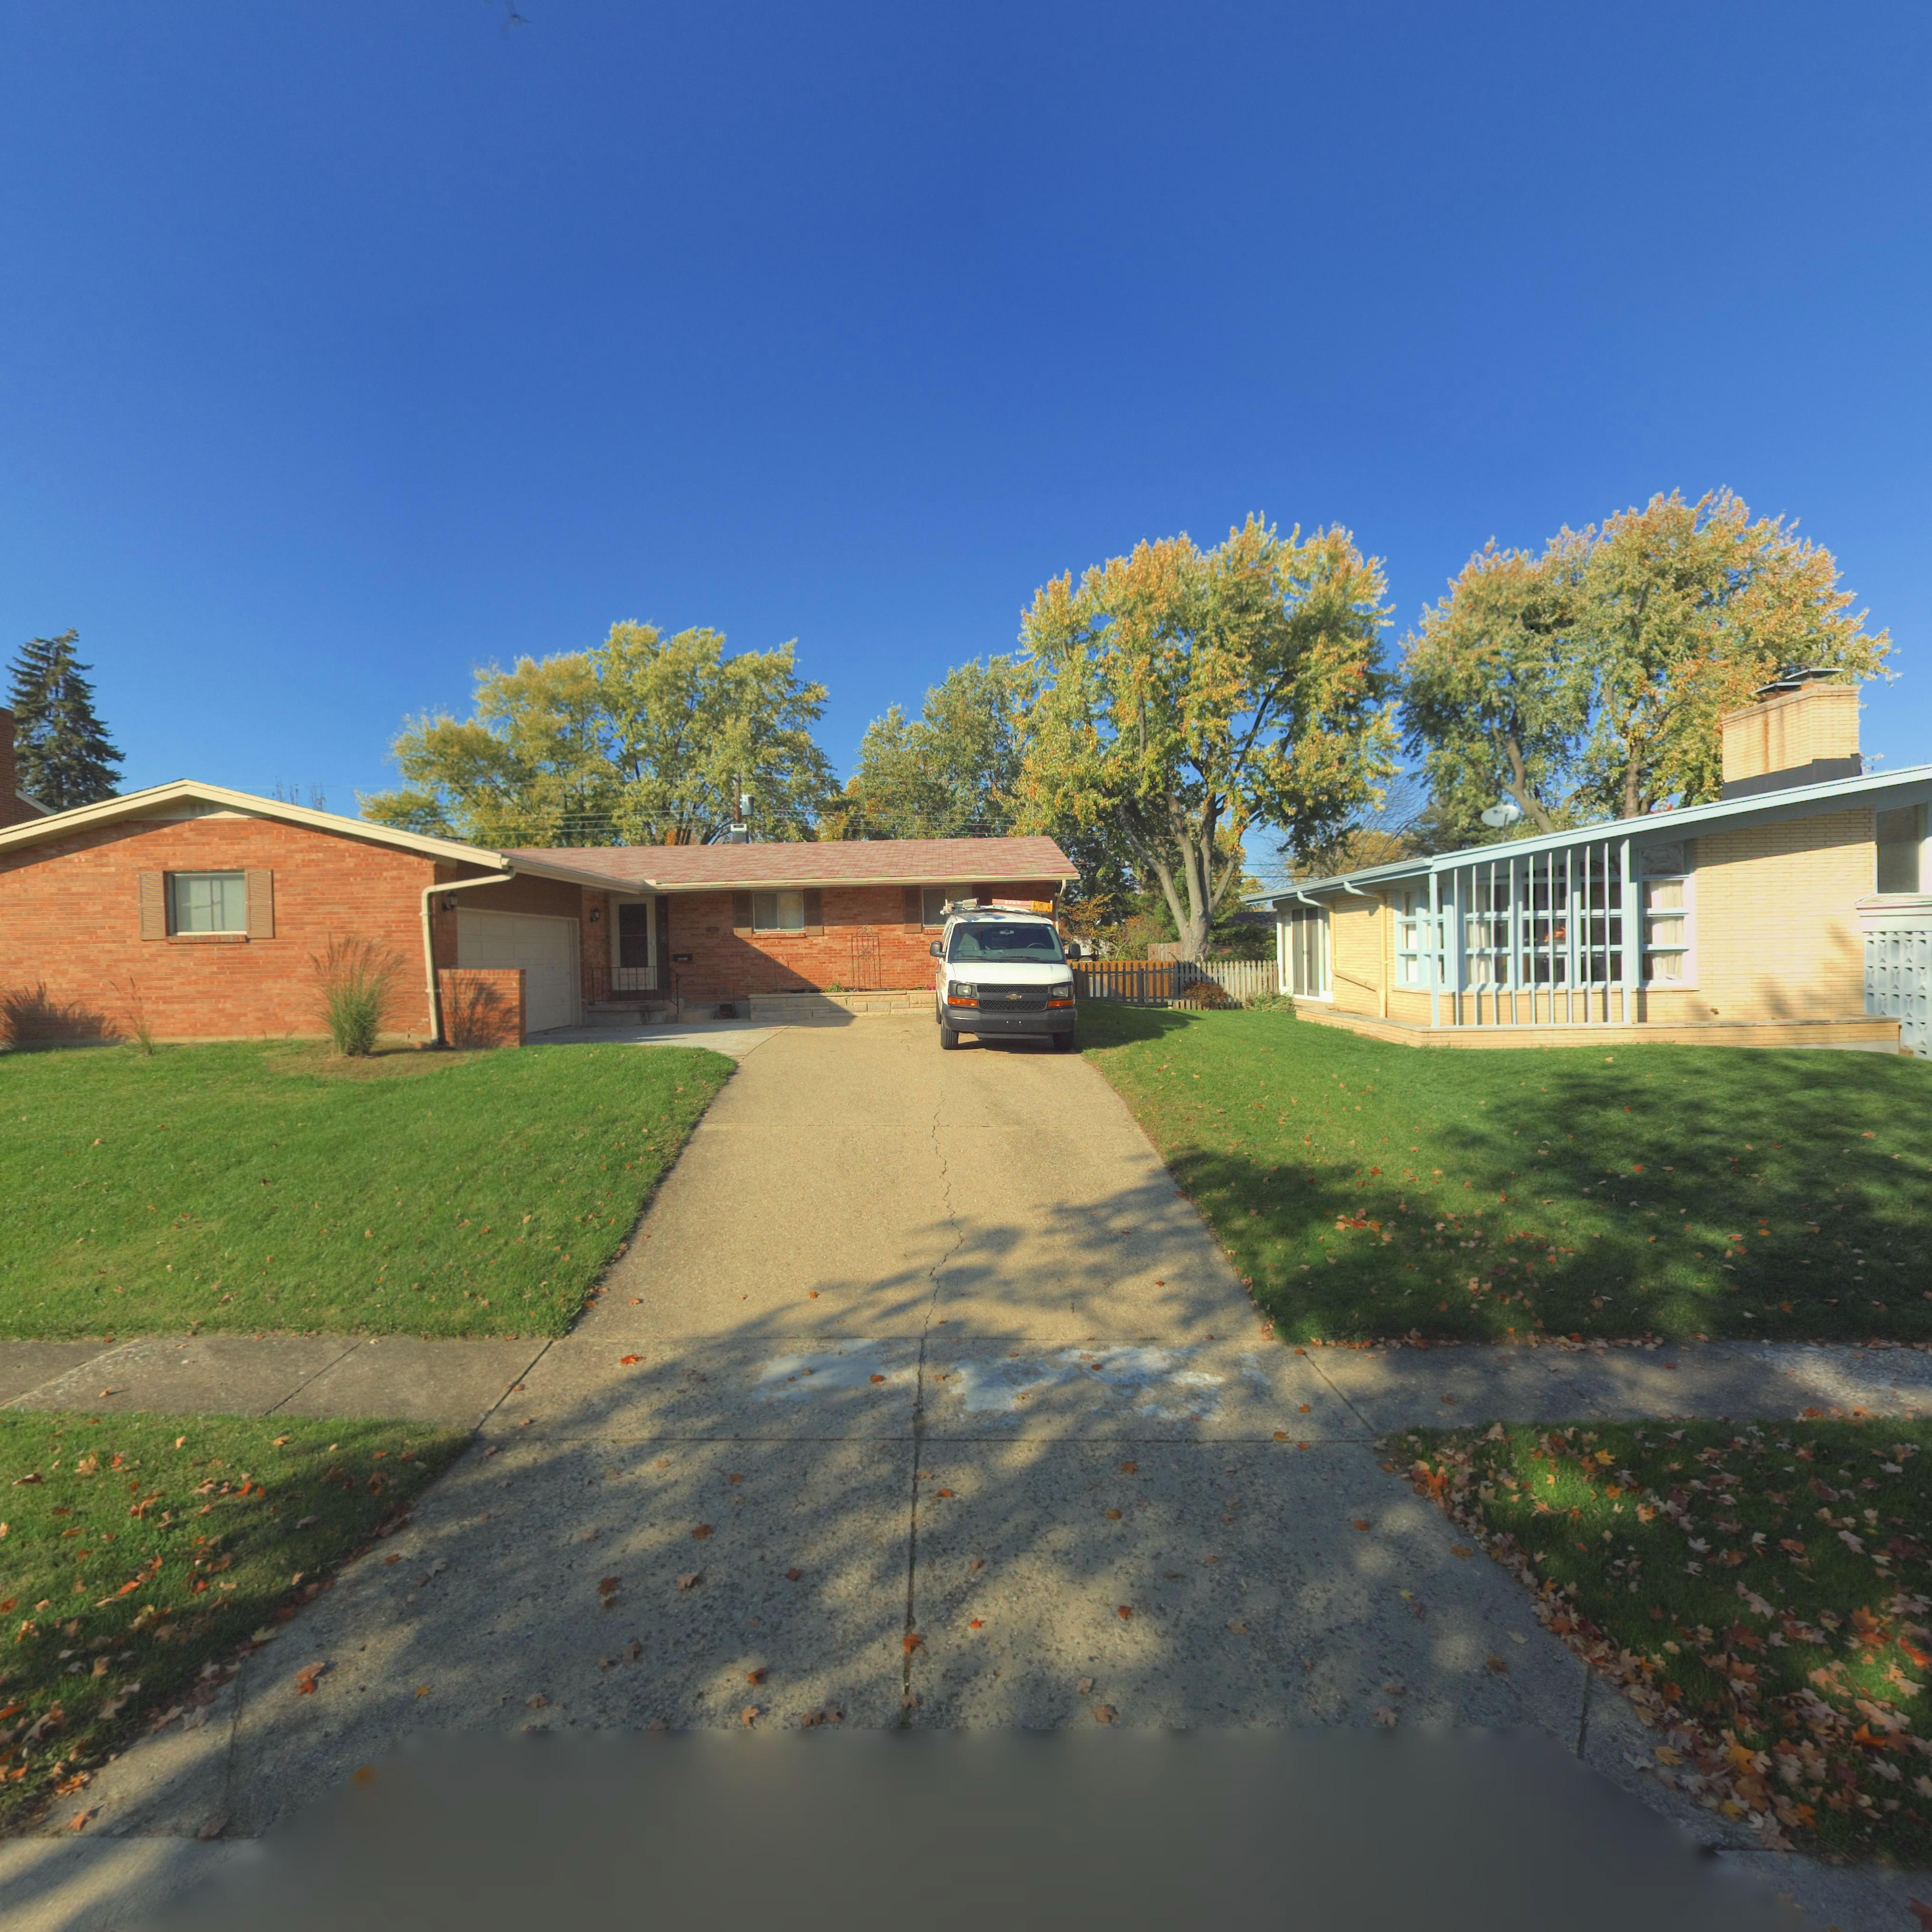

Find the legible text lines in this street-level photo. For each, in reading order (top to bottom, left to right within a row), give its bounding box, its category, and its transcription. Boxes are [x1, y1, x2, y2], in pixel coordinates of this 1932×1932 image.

[709, 927, 715, 932] StreetNumber: *31